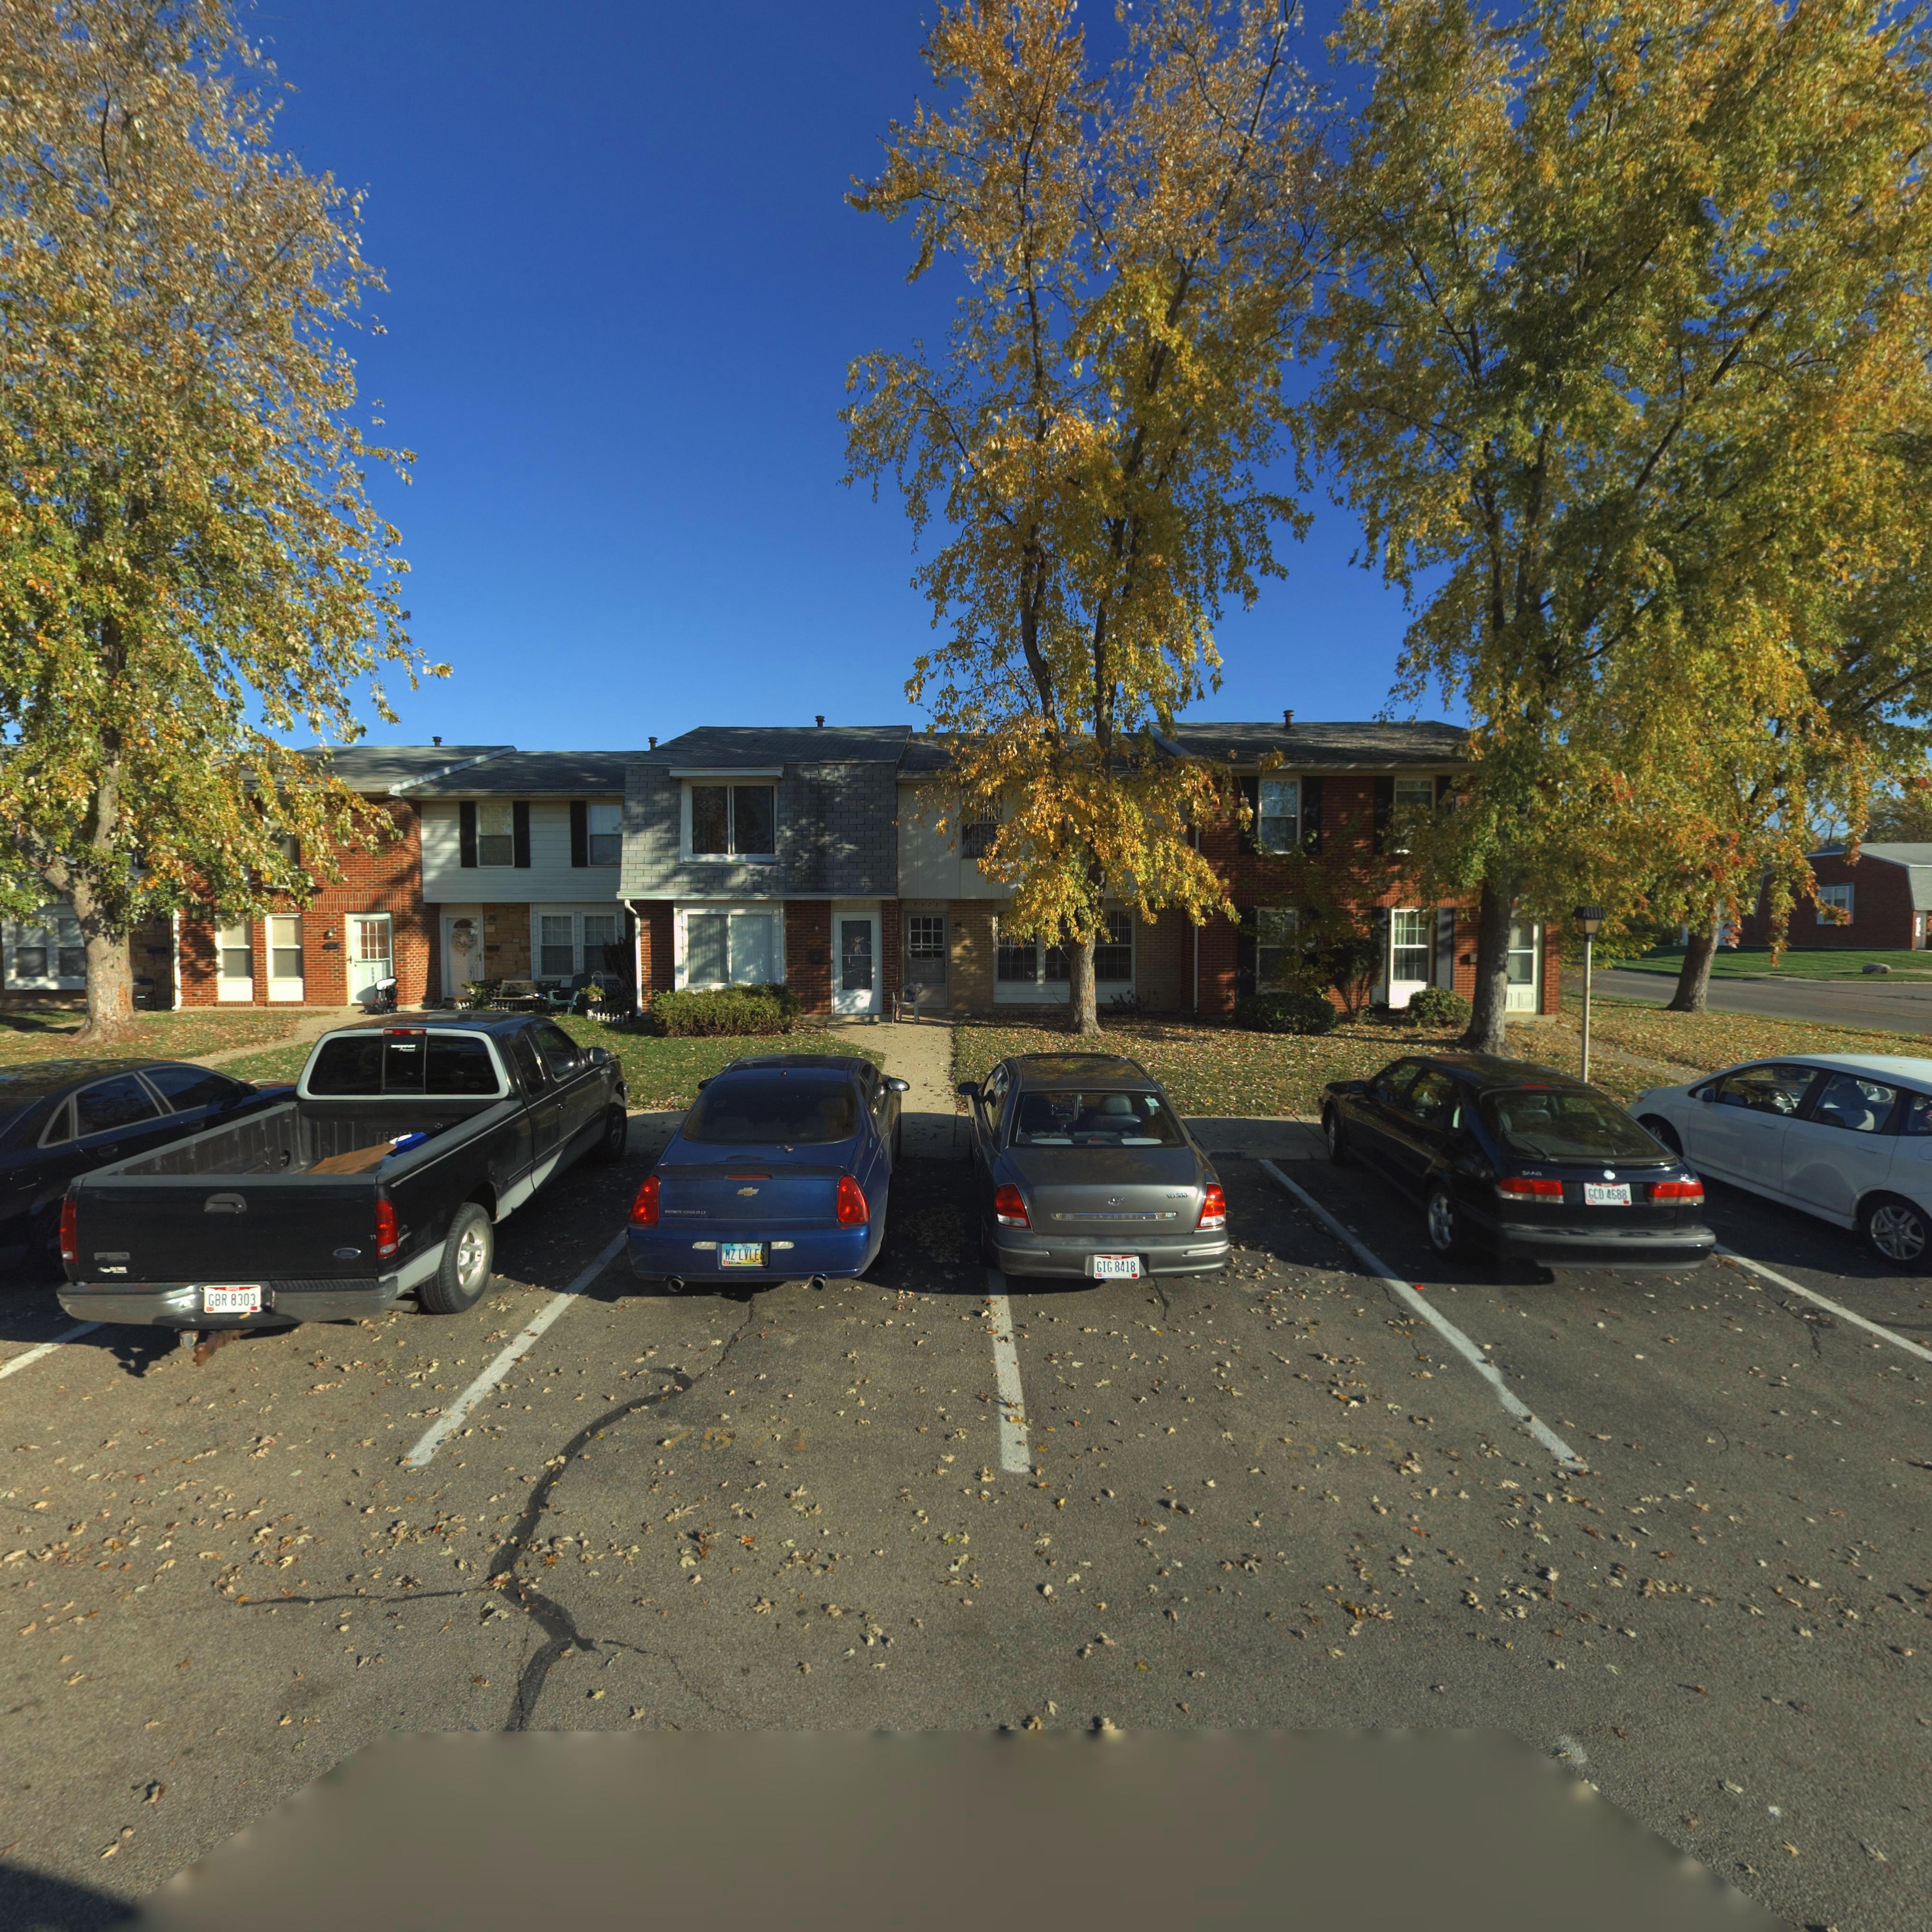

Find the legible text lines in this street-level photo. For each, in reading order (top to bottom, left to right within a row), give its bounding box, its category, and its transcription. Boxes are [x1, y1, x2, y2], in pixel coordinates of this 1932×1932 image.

[913, 902, 938, 908] StreetNumber: 7573
[854, 936, 859, 955] StreetNumber: 7571
[371, 966, 375, 983] StreetNumber: 7567